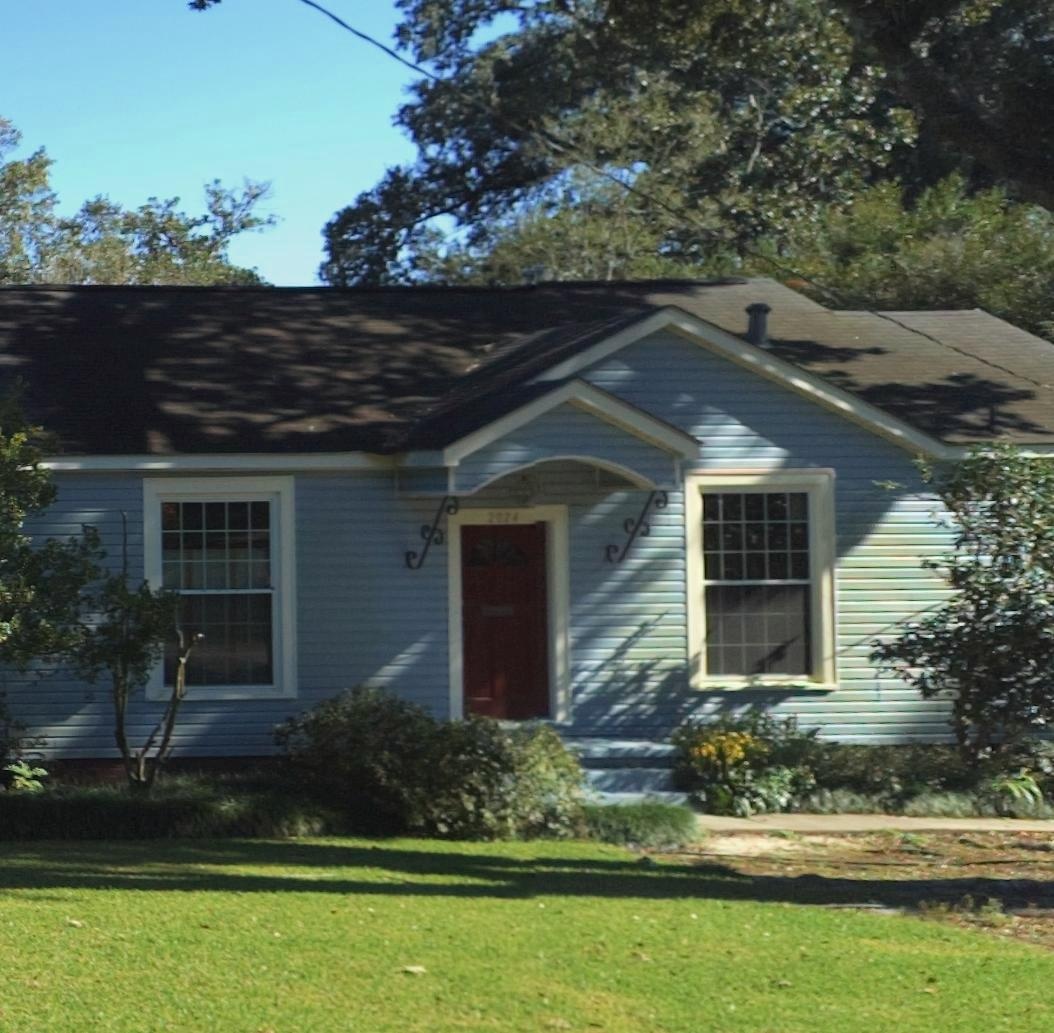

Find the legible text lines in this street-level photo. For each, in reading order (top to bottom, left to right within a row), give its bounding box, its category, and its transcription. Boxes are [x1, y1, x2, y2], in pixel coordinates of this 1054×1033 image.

[485, 509, 521, 525] StreetNumber: 2024